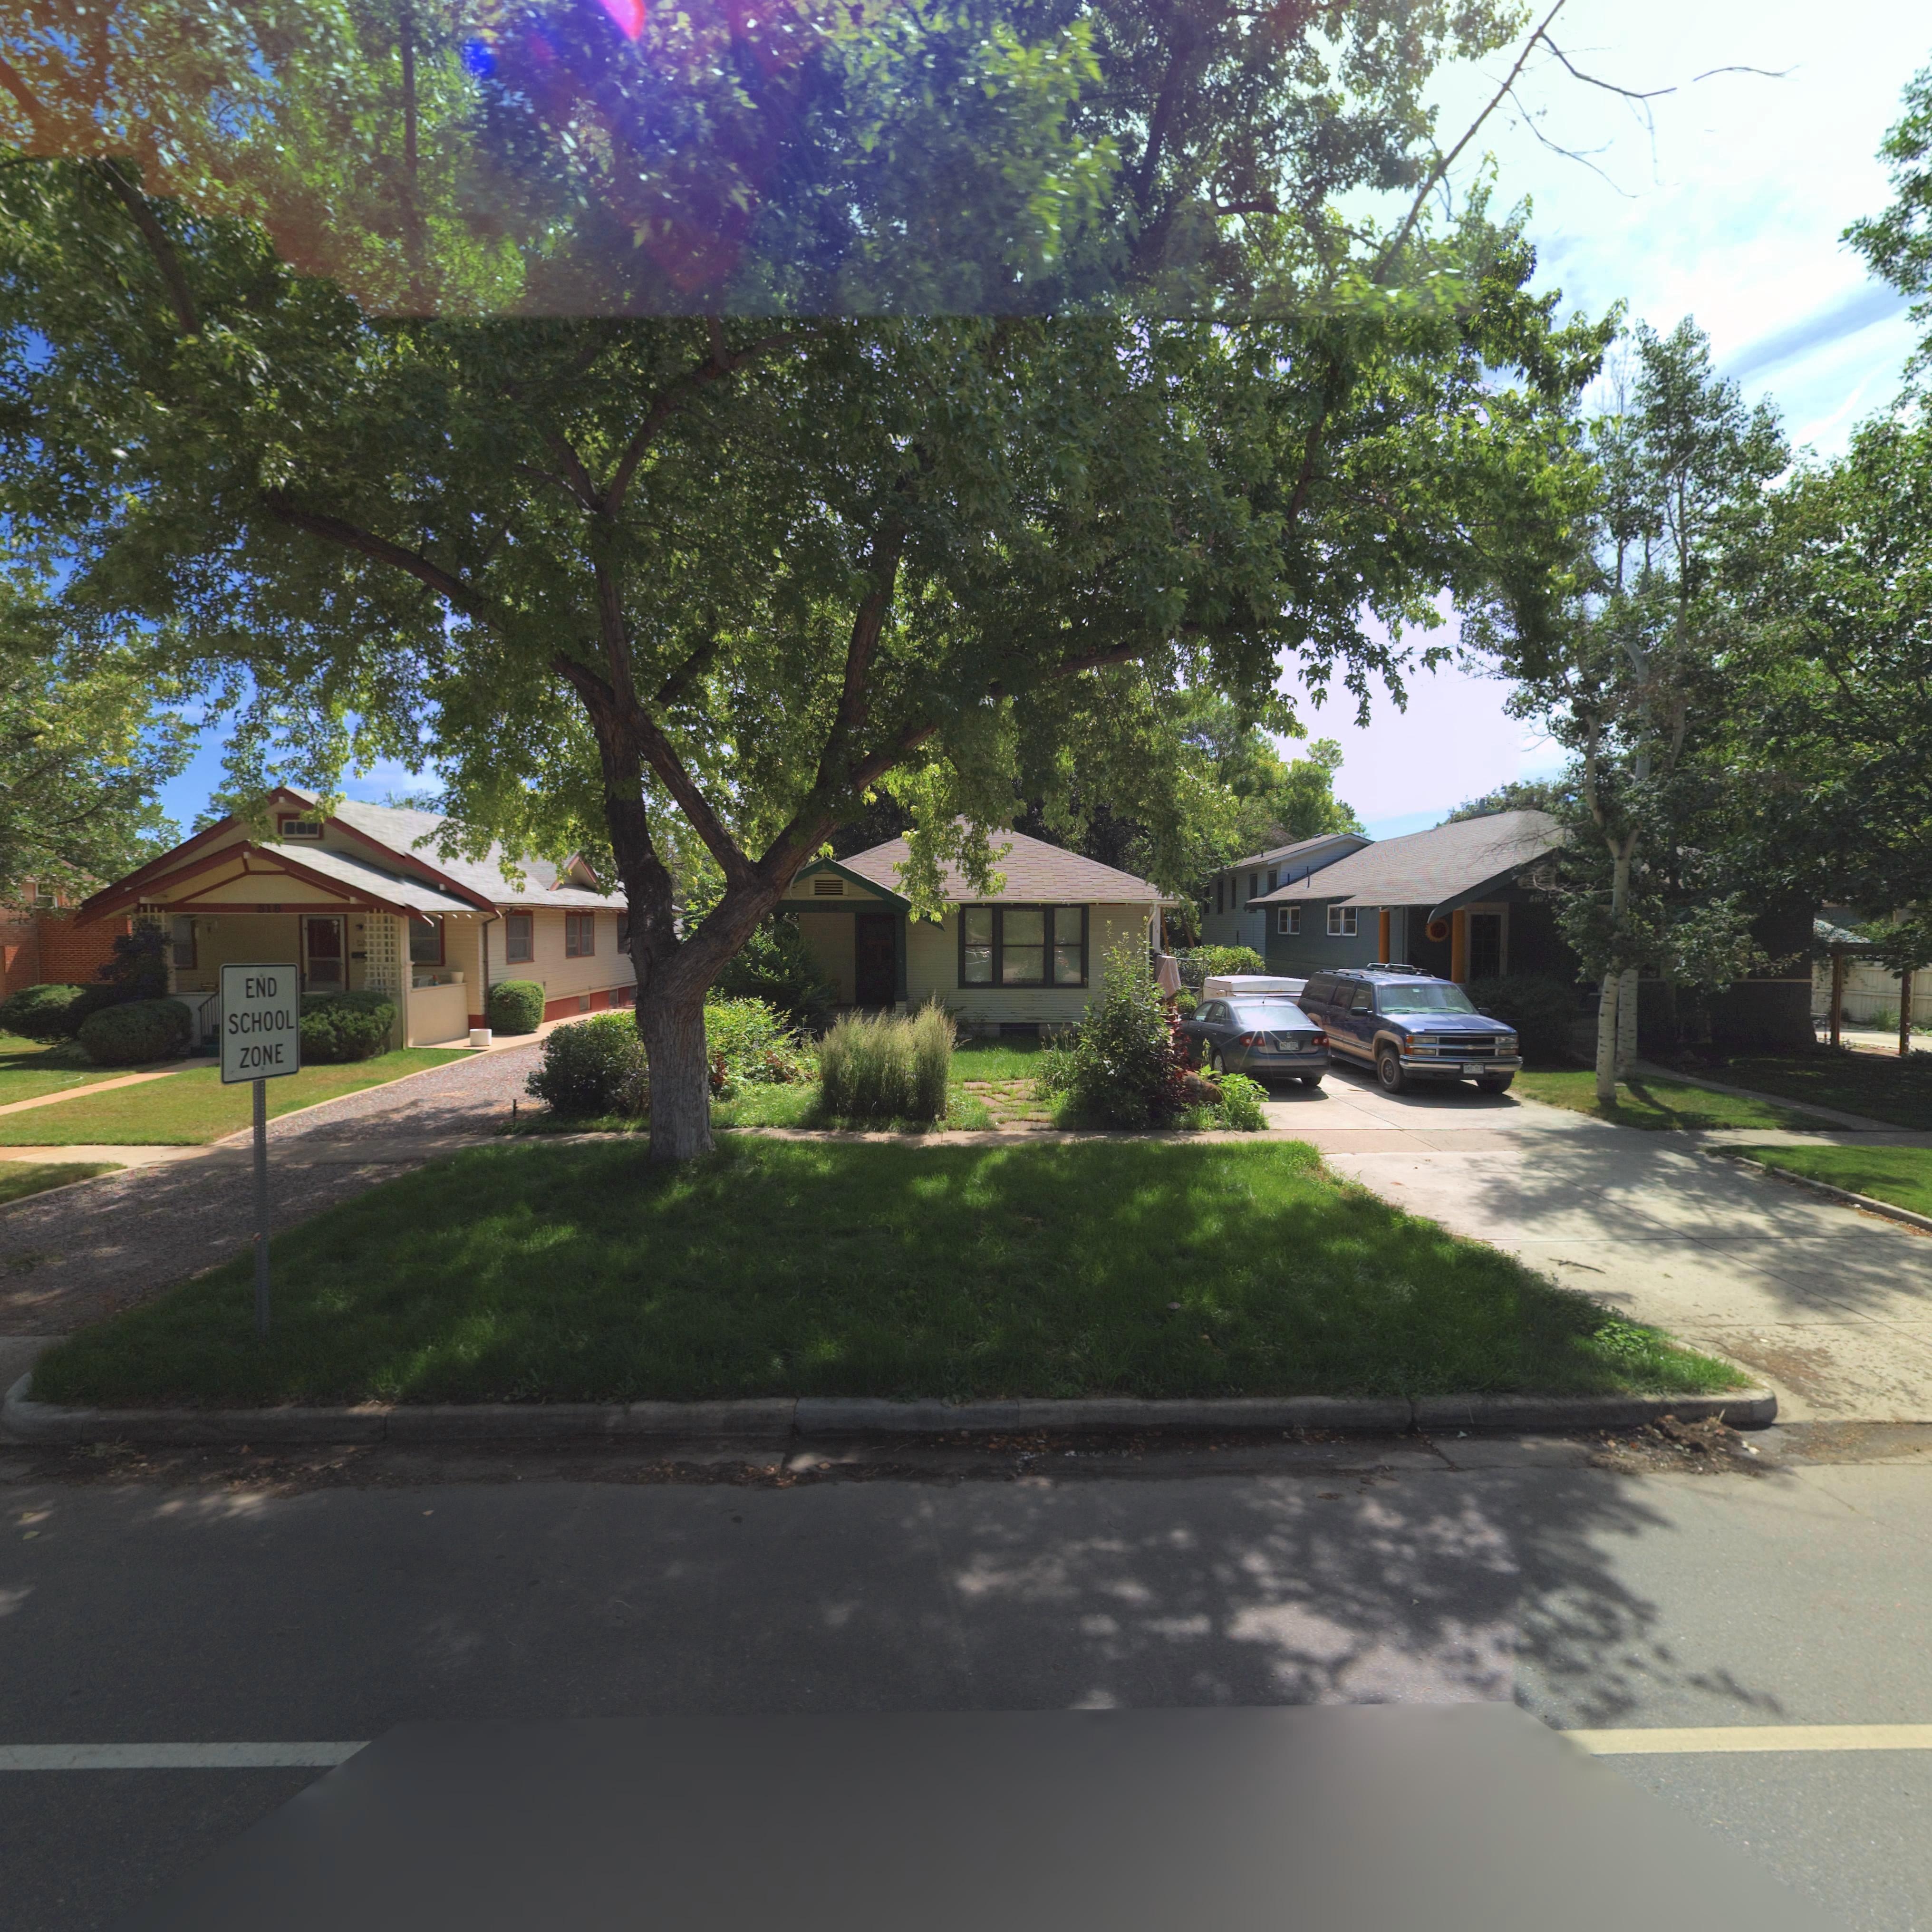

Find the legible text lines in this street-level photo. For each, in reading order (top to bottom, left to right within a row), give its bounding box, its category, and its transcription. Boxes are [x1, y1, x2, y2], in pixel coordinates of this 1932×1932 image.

[1528, 895, 1544, 902] StreetNumber: *10
[258, 903, 281, 912] StreetNumber: **8